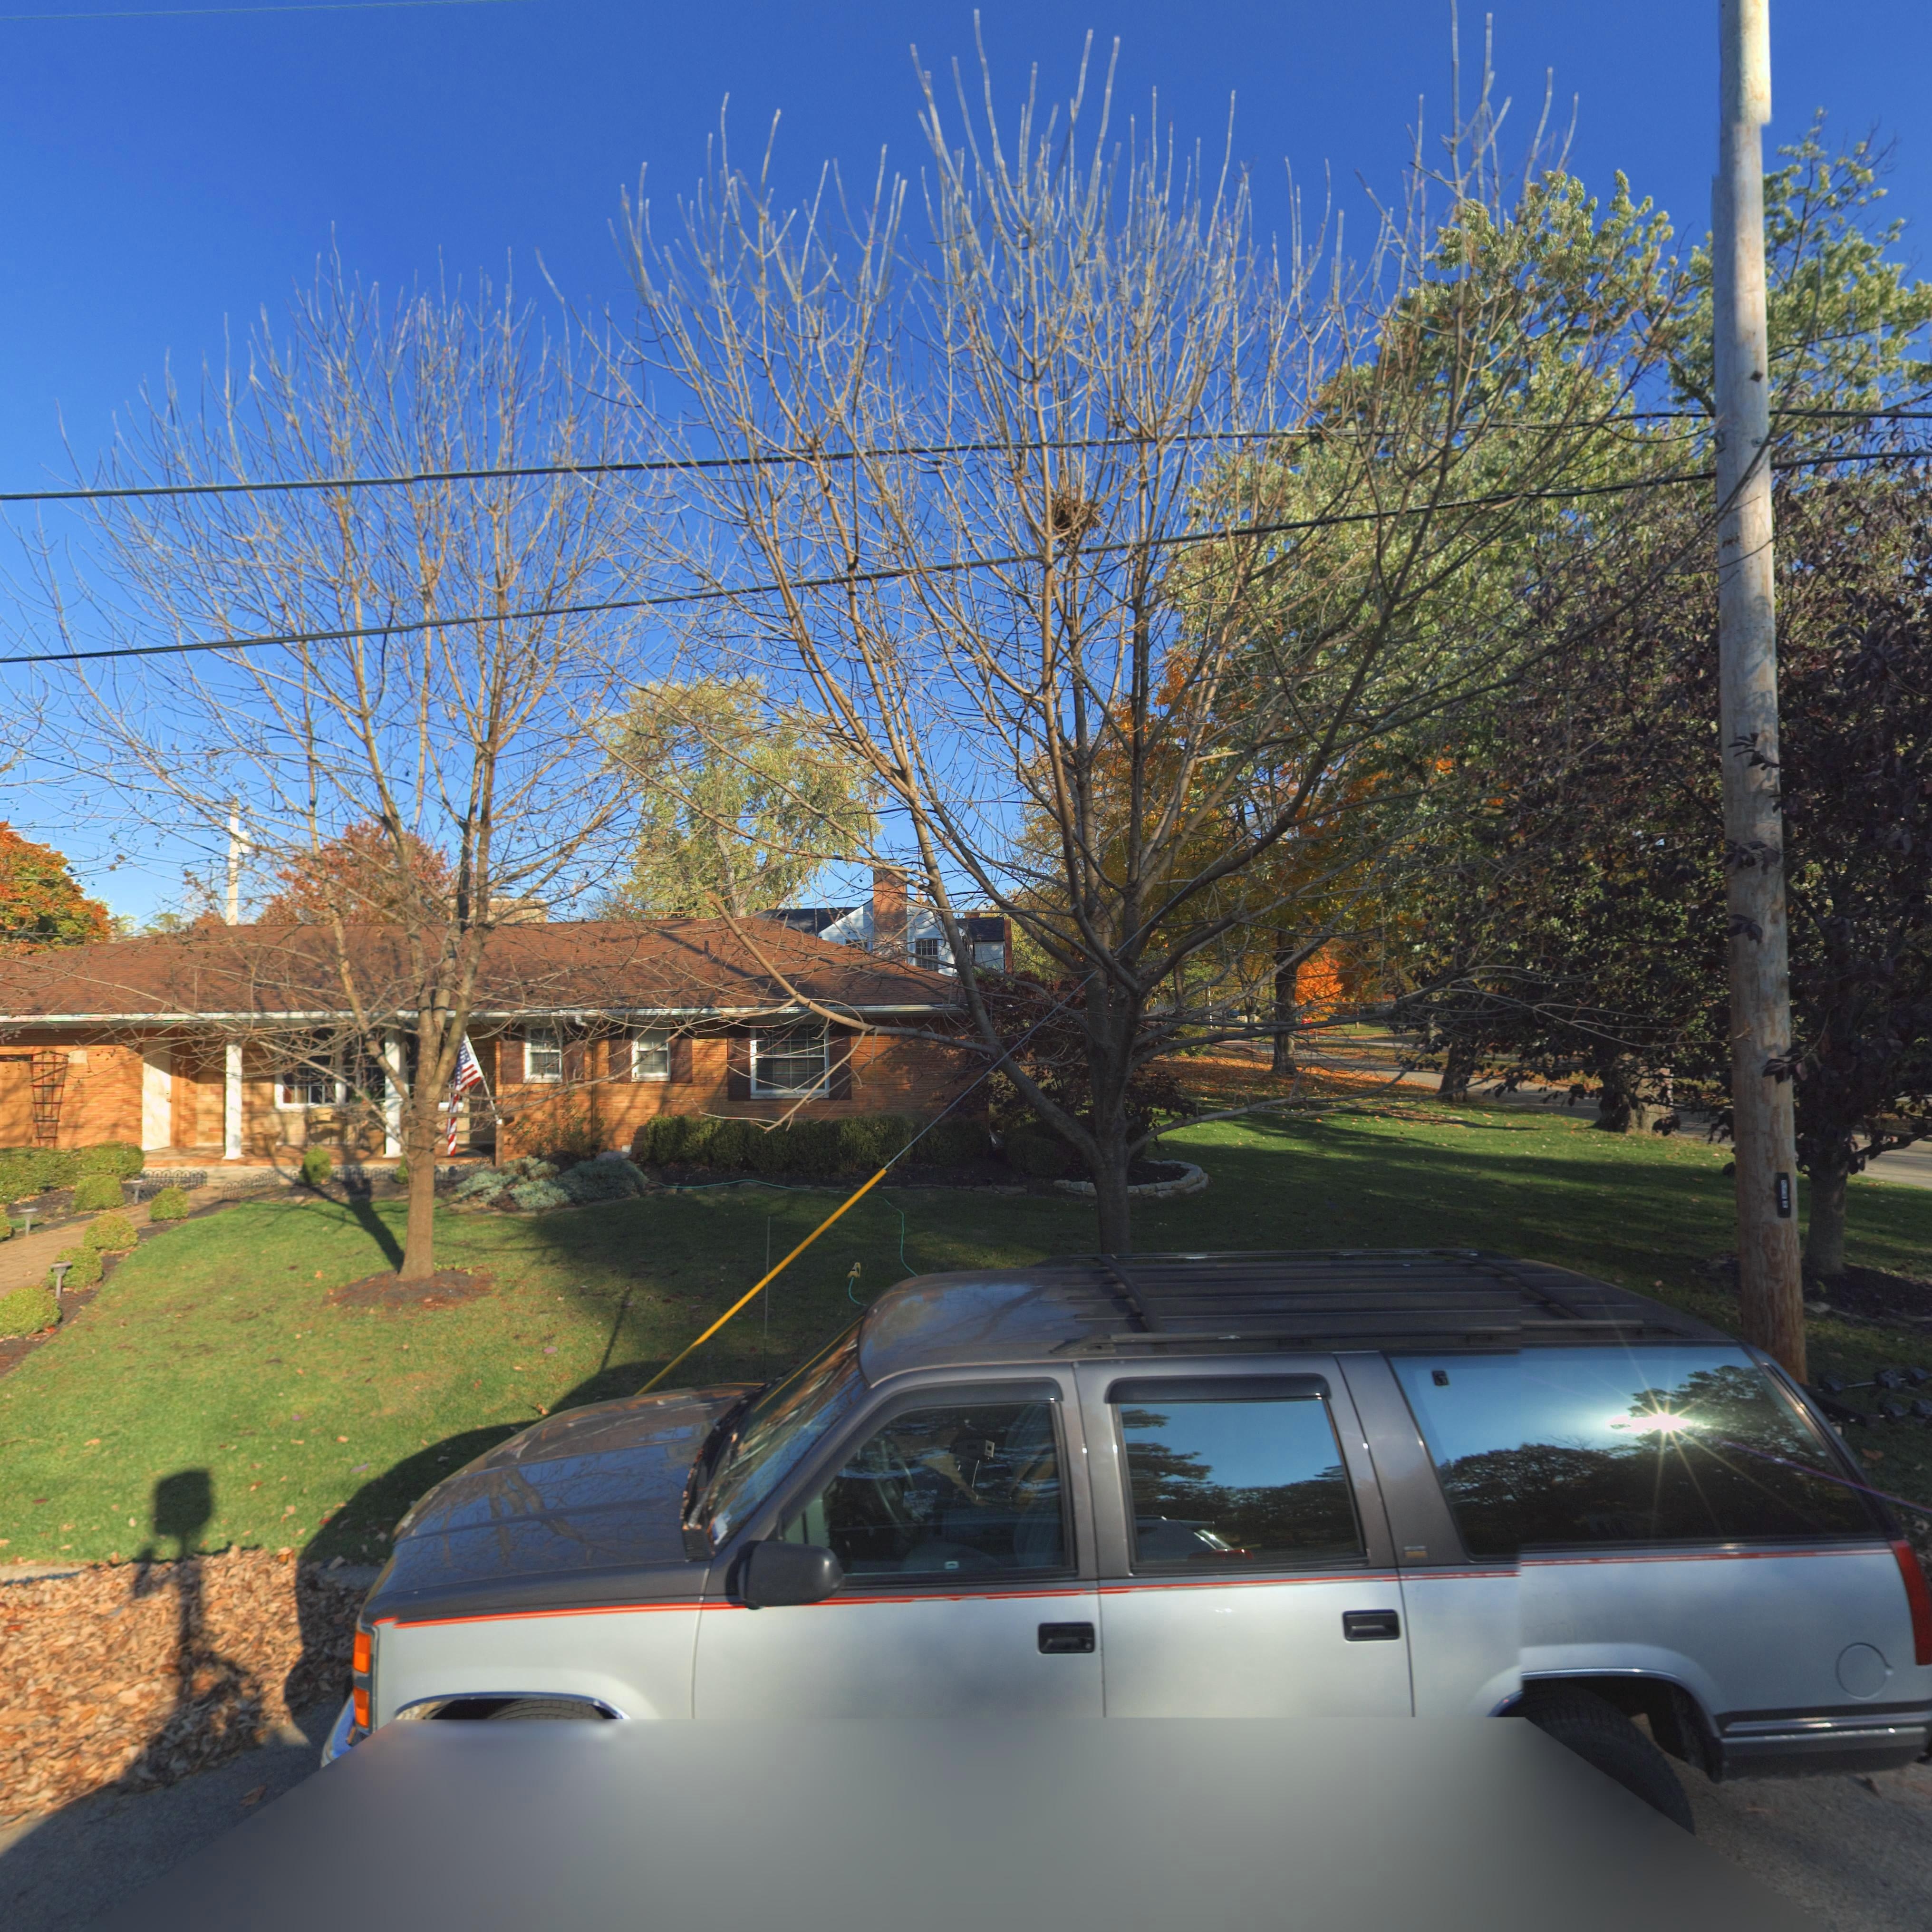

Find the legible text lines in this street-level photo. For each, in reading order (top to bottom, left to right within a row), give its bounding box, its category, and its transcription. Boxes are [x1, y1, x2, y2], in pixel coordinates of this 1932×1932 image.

[70, 1051, 86, 1060] StreetNumber: 7*6